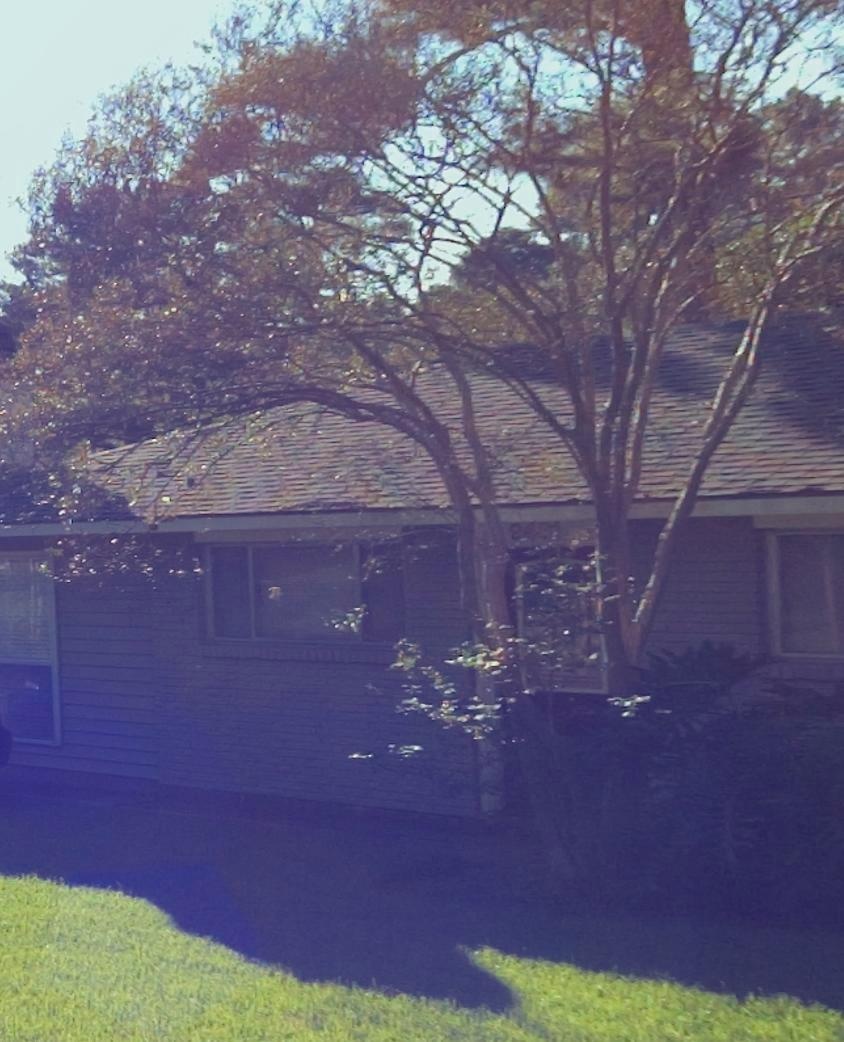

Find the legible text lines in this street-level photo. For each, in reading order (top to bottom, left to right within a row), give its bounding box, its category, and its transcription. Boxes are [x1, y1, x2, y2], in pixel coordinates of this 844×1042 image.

[506, 521, 569, 545] StreetNumber: 948*